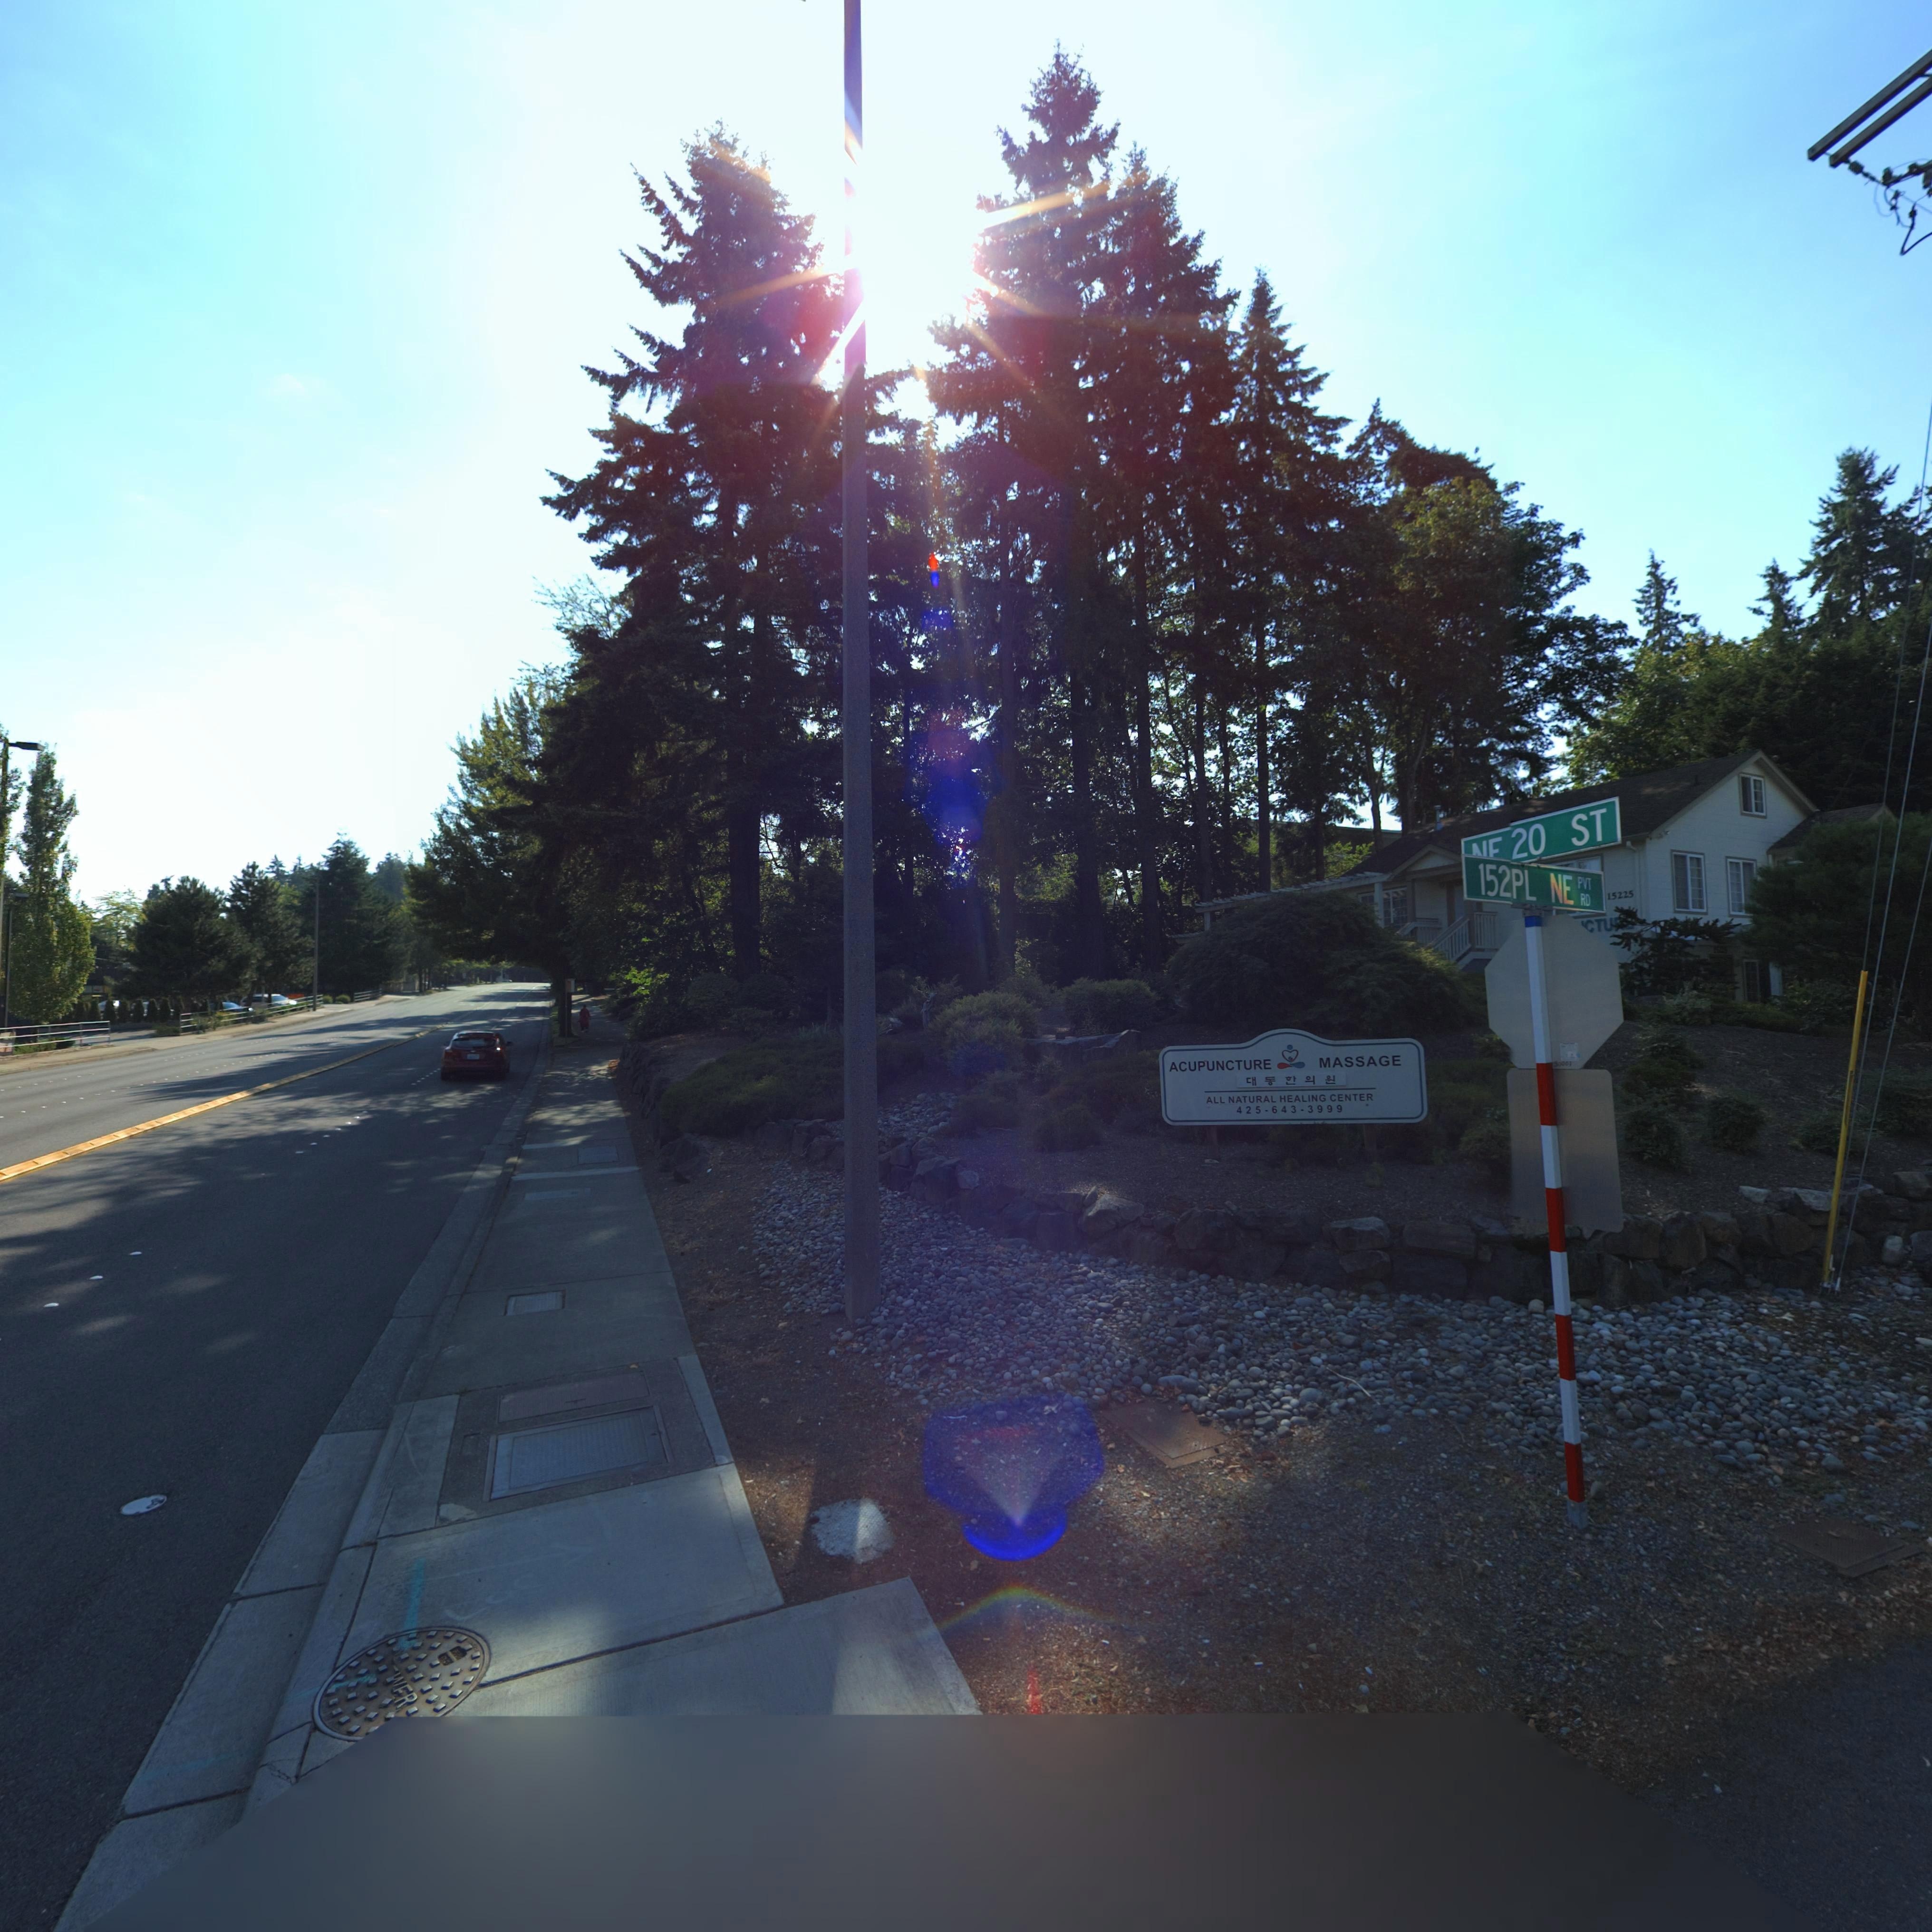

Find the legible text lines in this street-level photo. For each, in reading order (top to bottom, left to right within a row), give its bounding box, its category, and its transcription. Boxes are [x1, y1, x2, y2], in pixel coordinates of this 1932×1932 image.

[1510, 807, 1607, 860] StreetName: 20 ST
[1478, 861, 1575, 905] StreetName: 152 PL NE
[1607, 889, 1633, 899] StreetNumber: 15225
[1168, 1058, 1272, 1072] BusinessName: ACUPUNCTURE
[1319, 1055, 1401, 1068] BusinessName: MASSAGE
[1206, 1093, 1374, 1104] BusinessName: ALL NATURAL HEALING CENTER